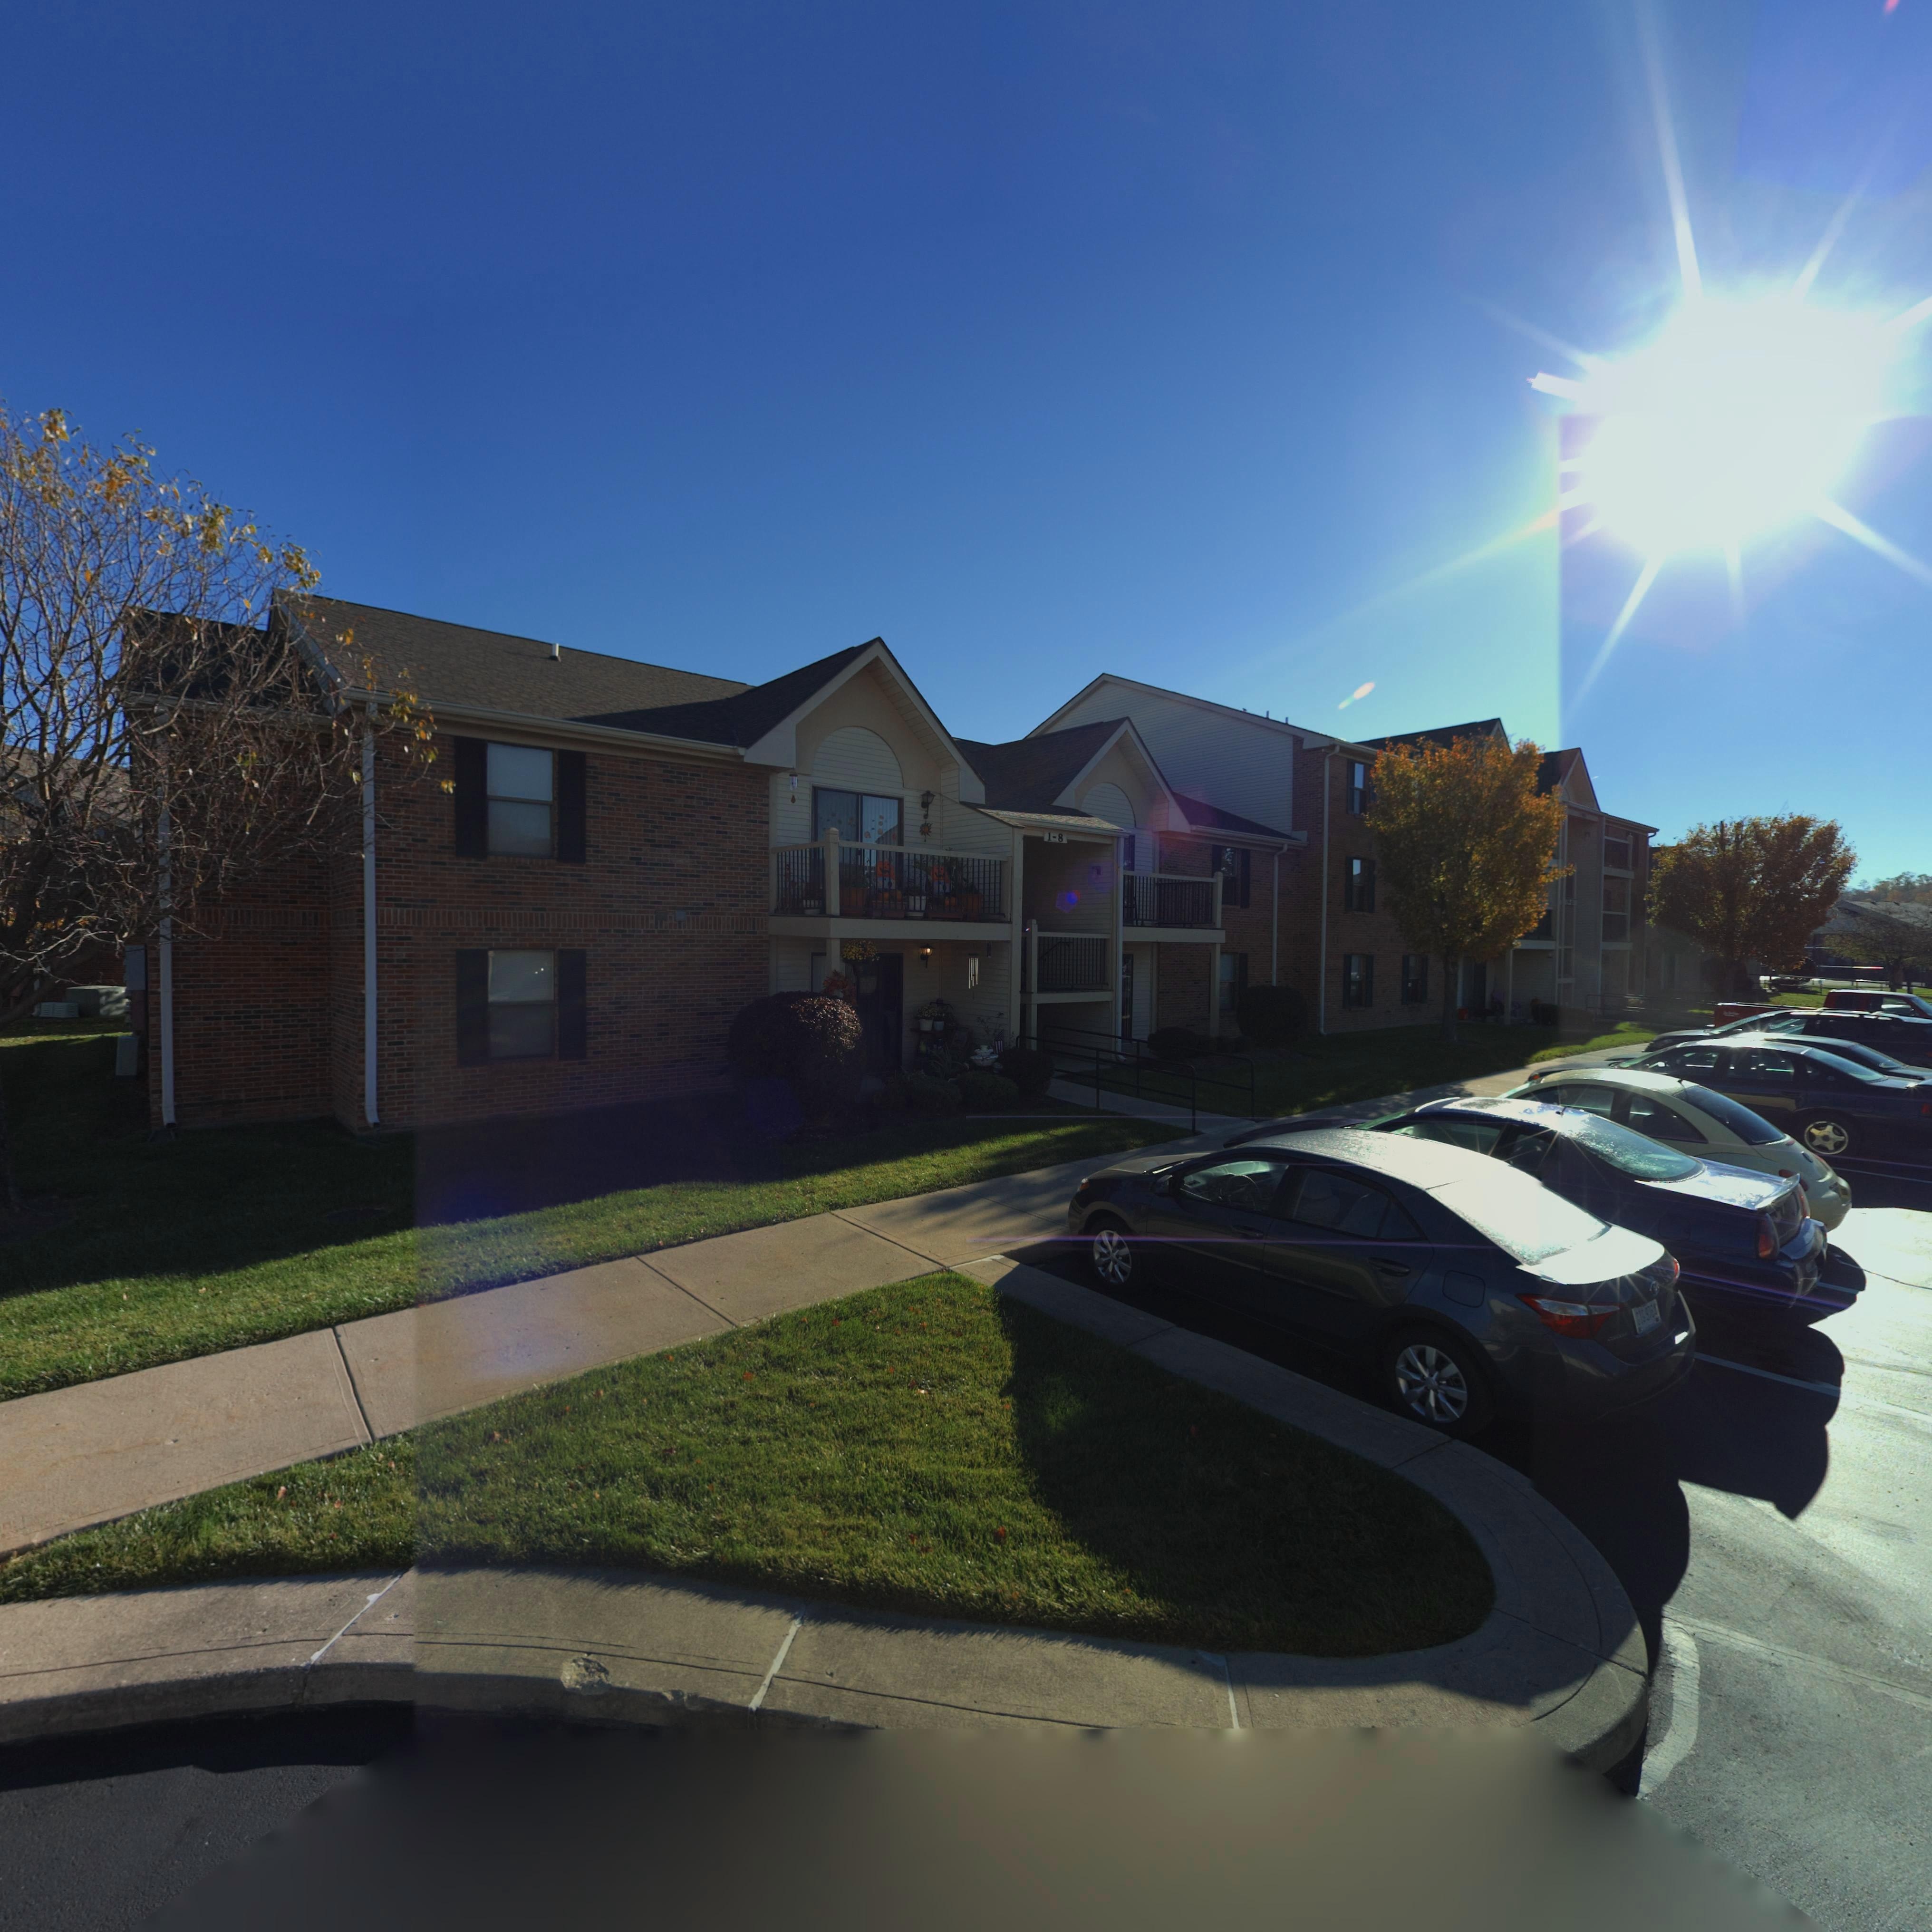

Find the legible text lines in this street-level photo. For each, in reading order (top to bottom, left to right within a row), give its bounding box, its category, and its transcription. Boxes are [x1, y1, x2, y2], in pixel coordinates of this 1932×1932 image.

[1047, 831, 1064, 843] StreetNumber: 1-8